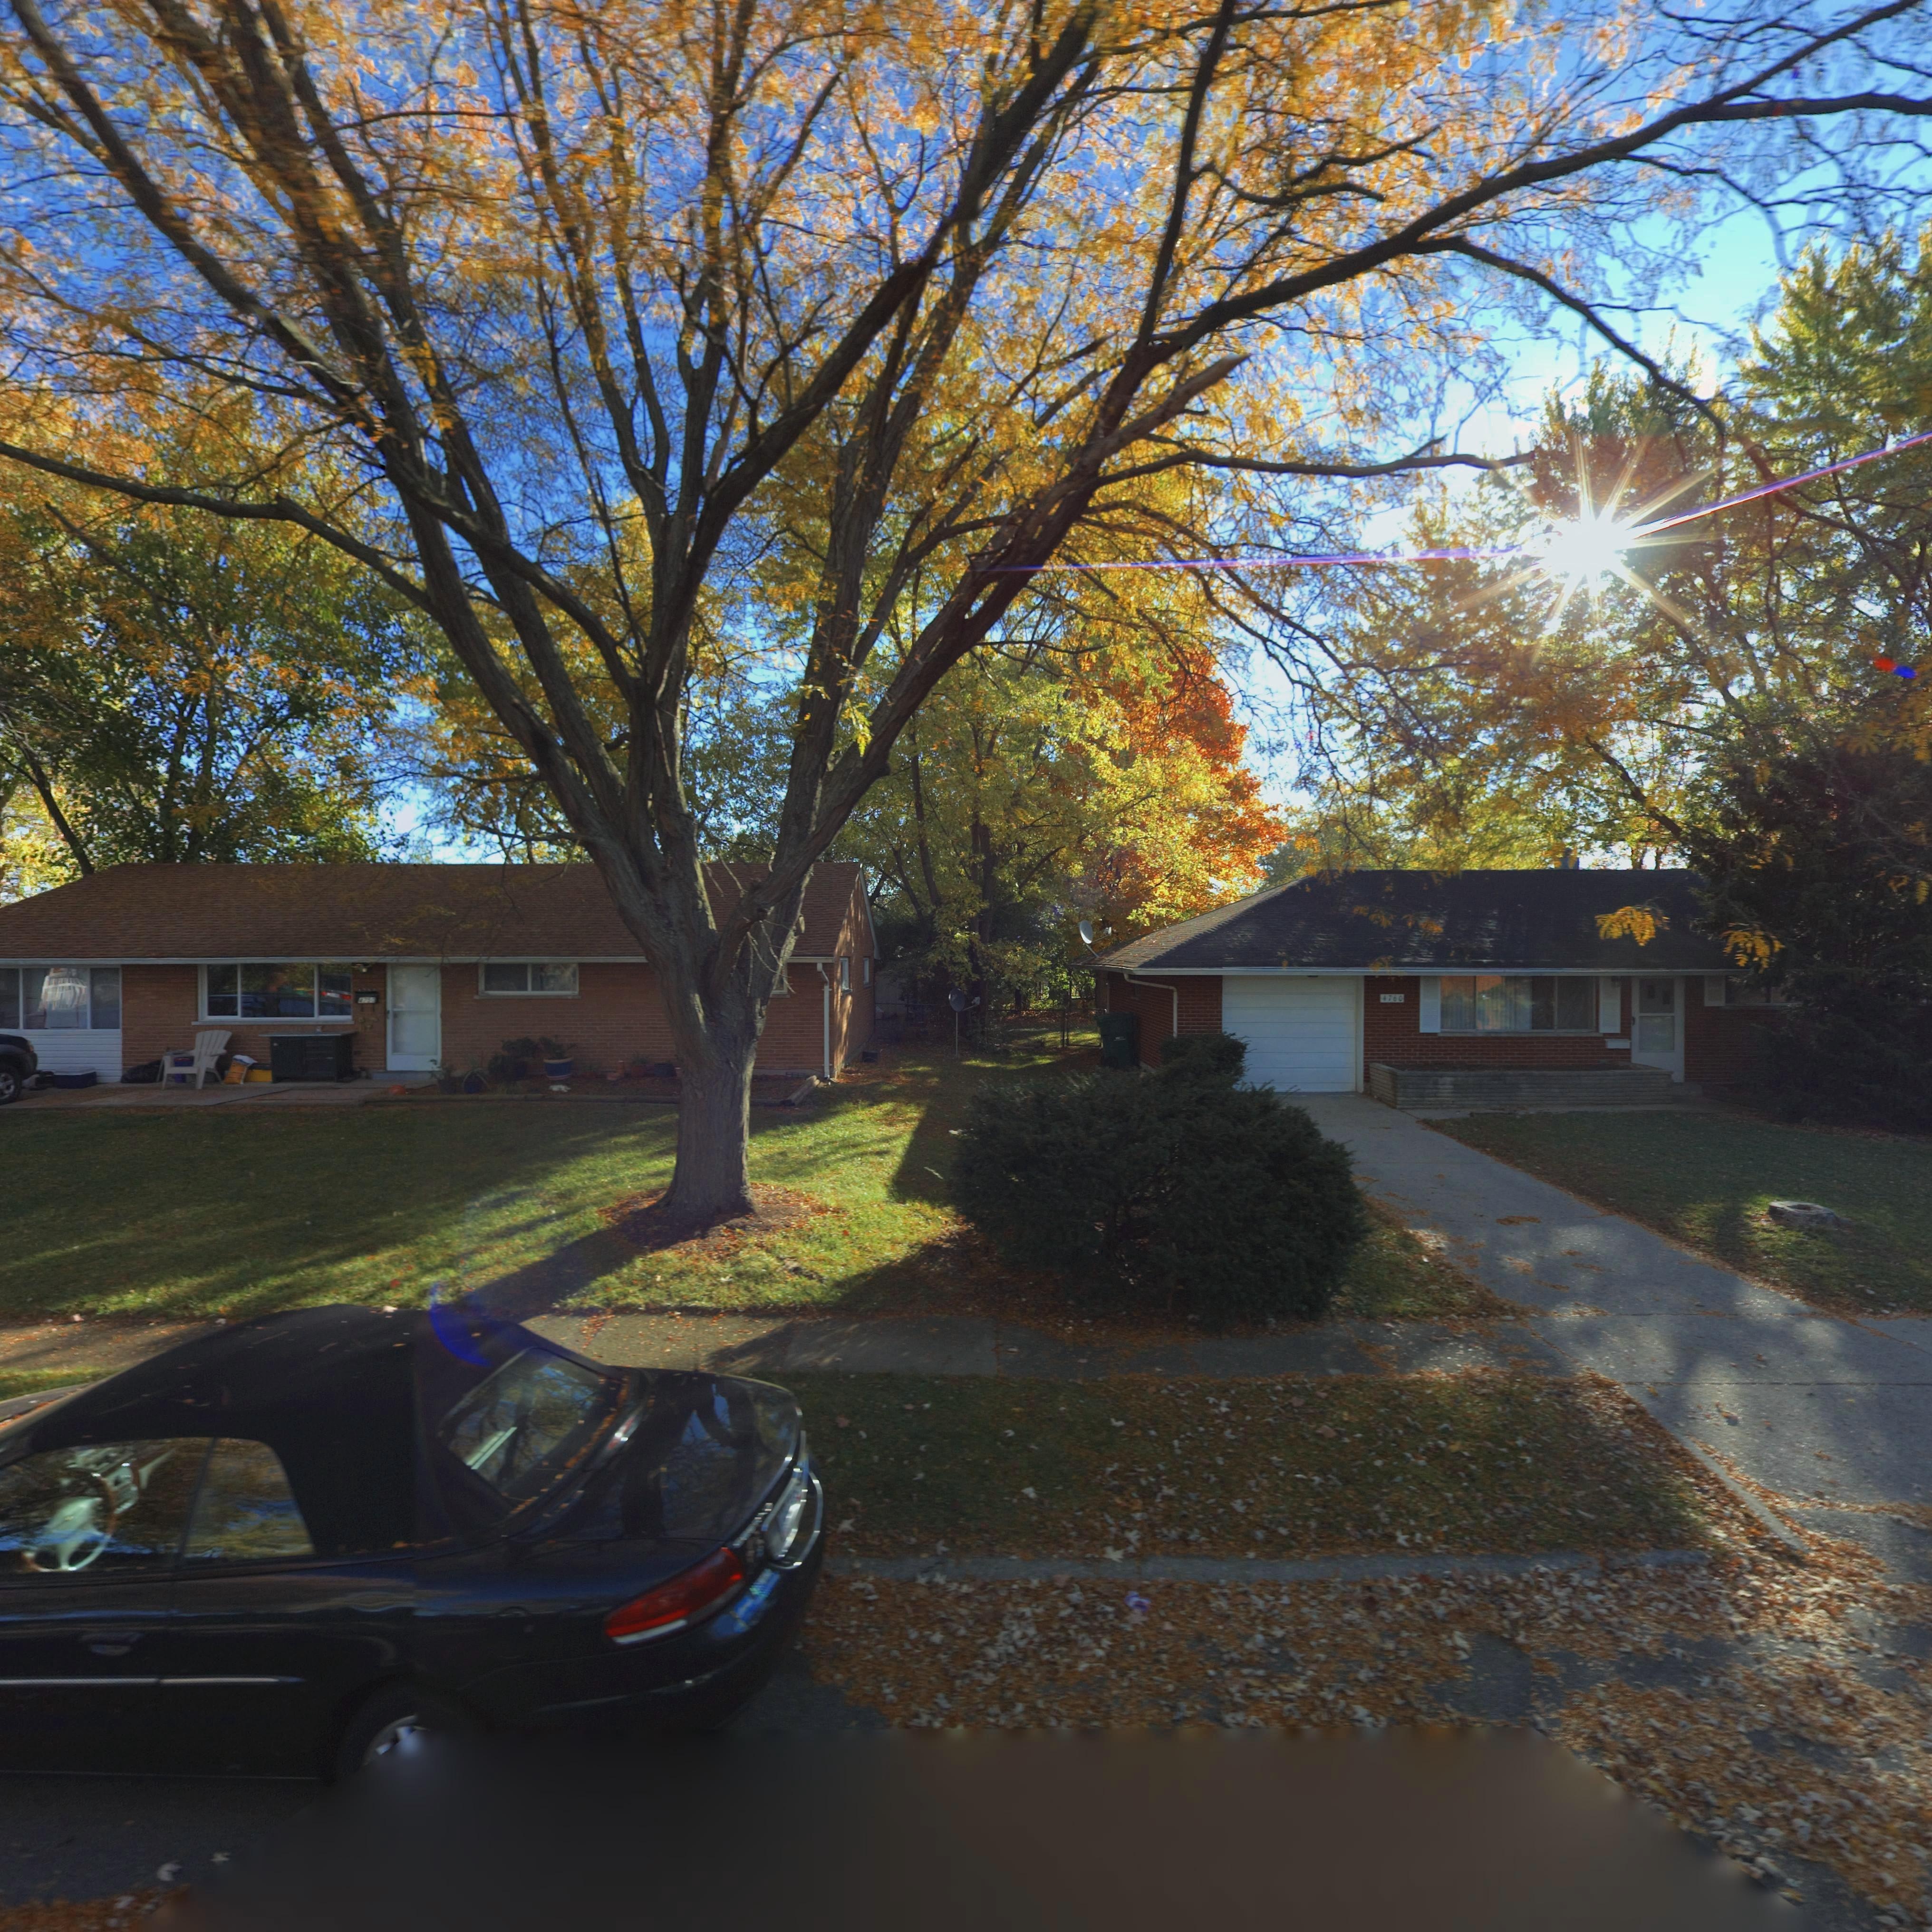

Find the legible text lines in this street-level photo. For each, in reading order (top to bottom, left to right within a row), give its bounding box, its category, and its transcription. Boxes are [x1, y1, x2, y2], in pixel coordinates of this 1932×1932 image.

[358, 997, 376, 1003] StreetNumber: 4750
[1381, 995, 1403, 1002] StreetNumber: 4760